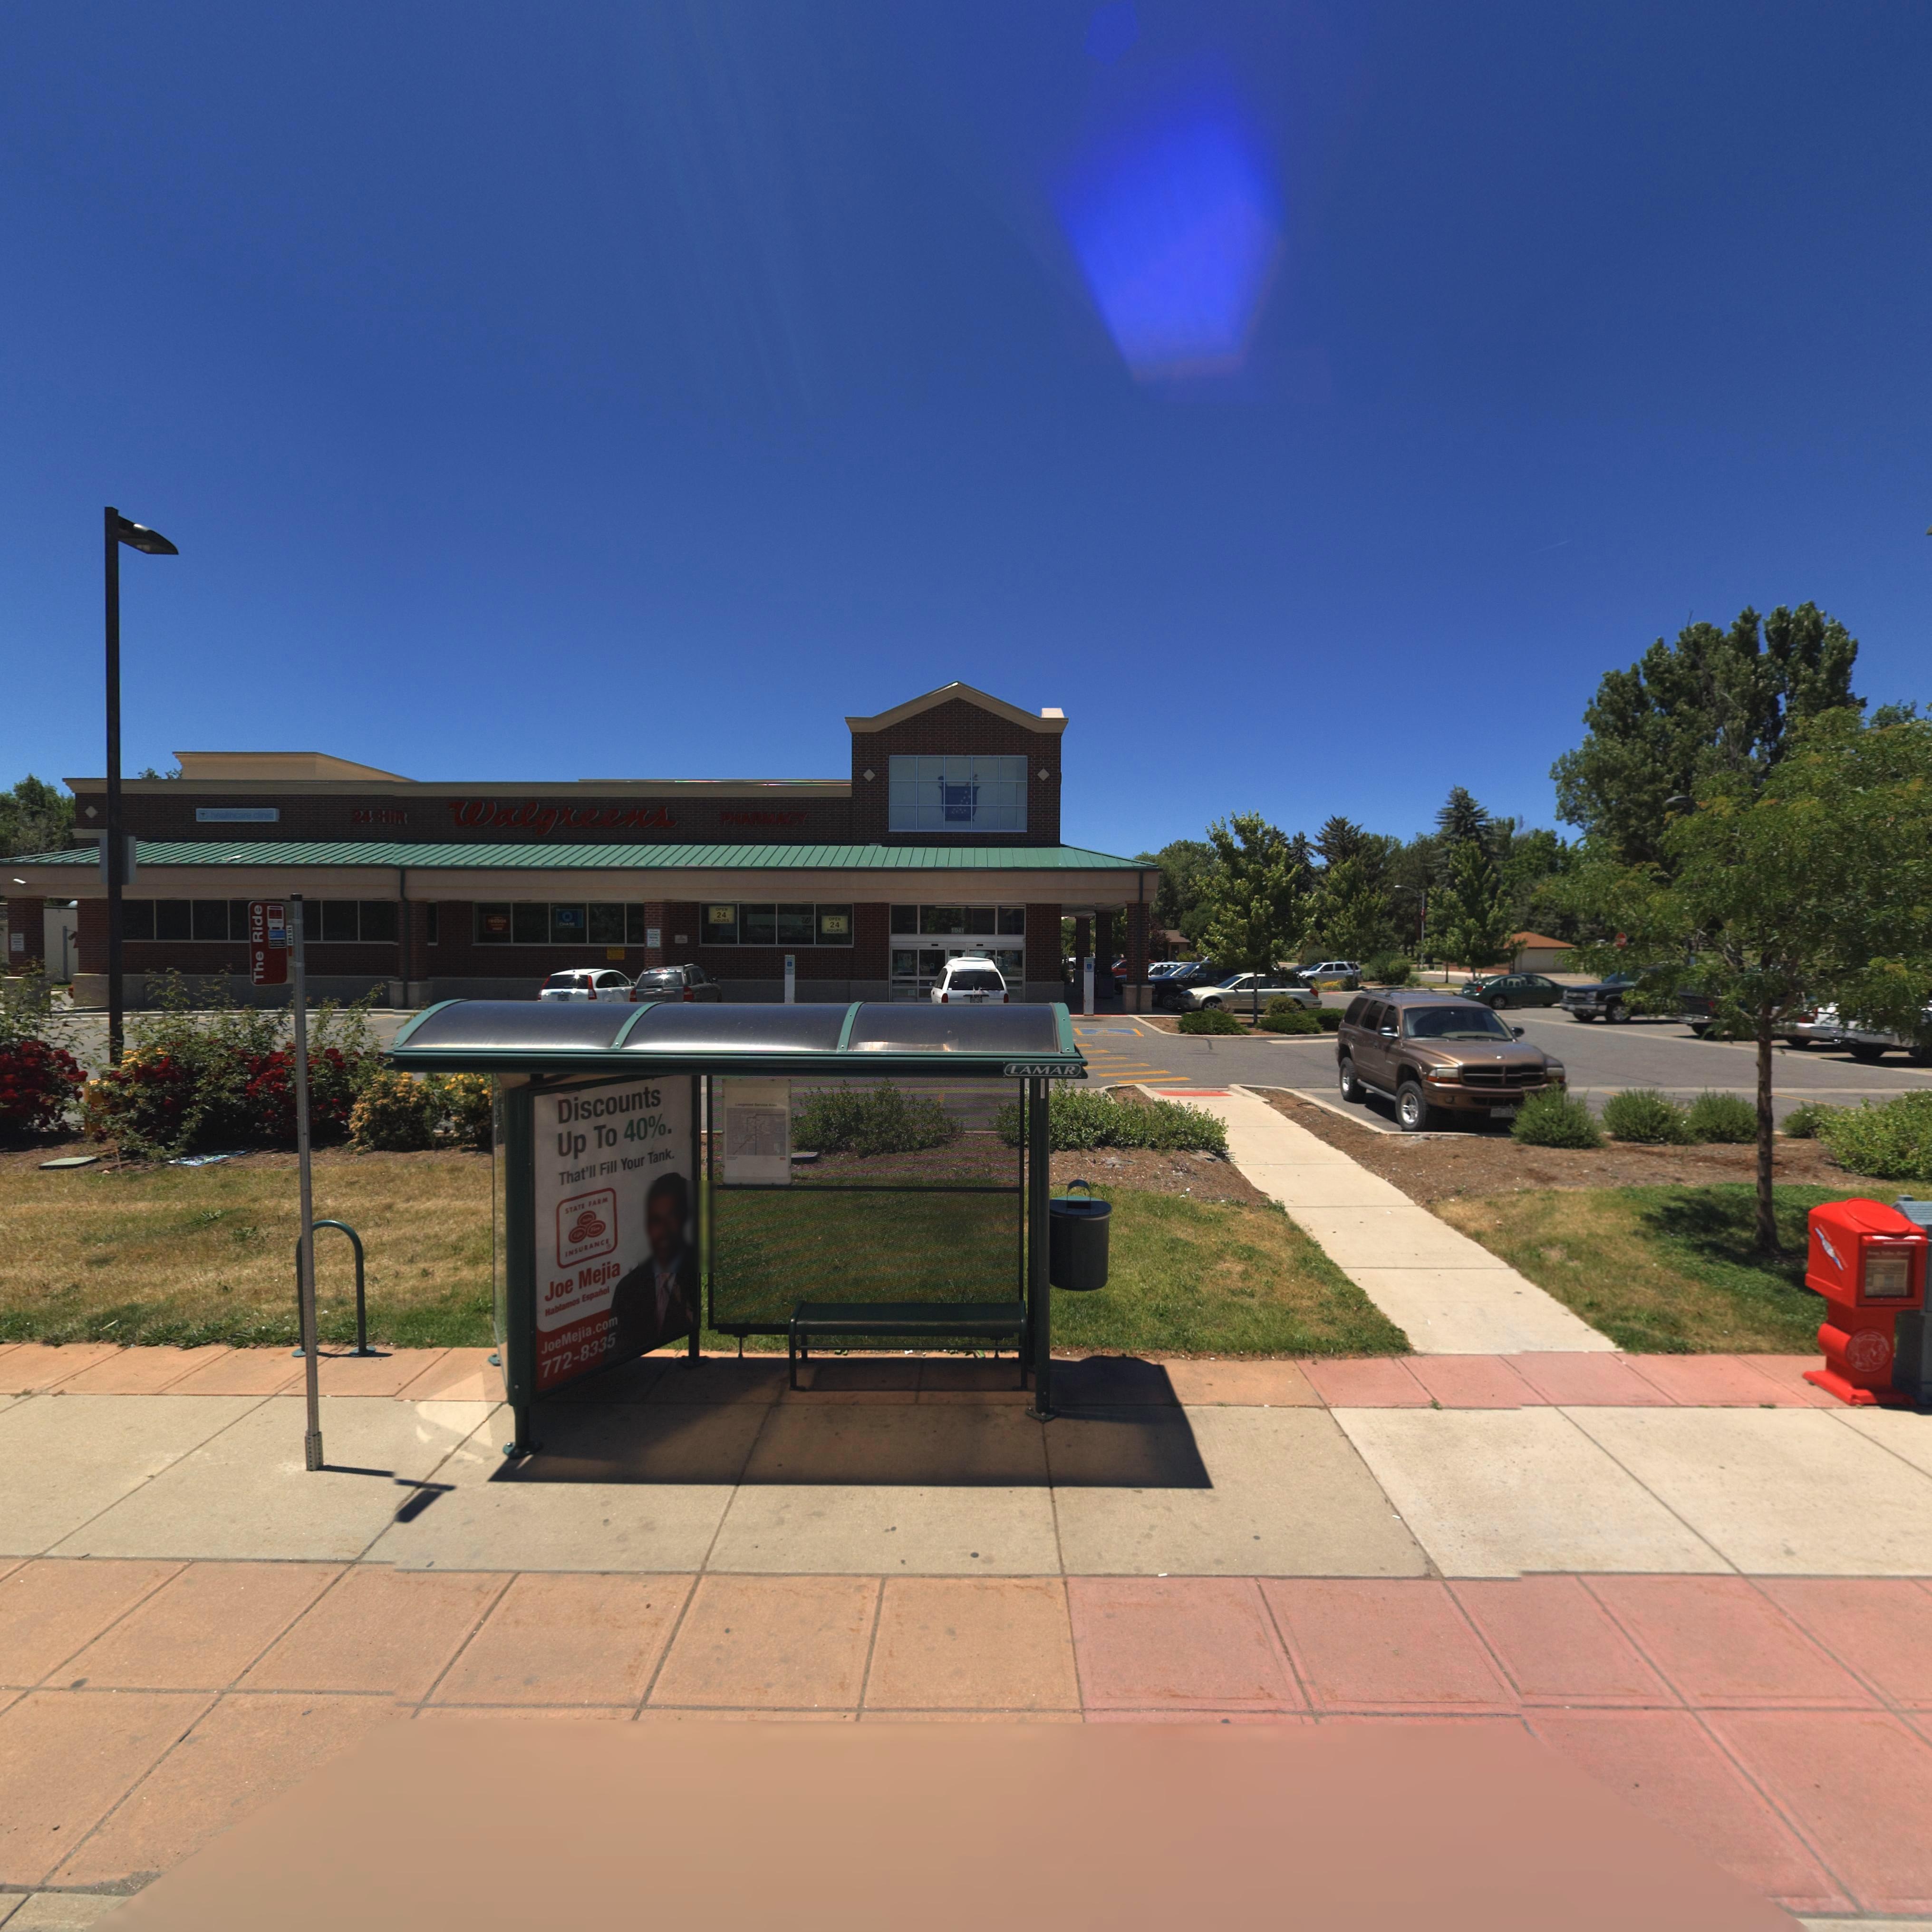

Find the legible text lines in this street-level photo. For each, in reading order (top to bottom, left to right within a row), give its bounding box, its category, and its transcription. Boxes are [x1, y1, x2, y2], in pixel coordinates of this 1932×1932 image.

[447, 799, 678, 838] BusinessName: Walgreens
[951, 927, 964, 933] StreetNumber: 1041